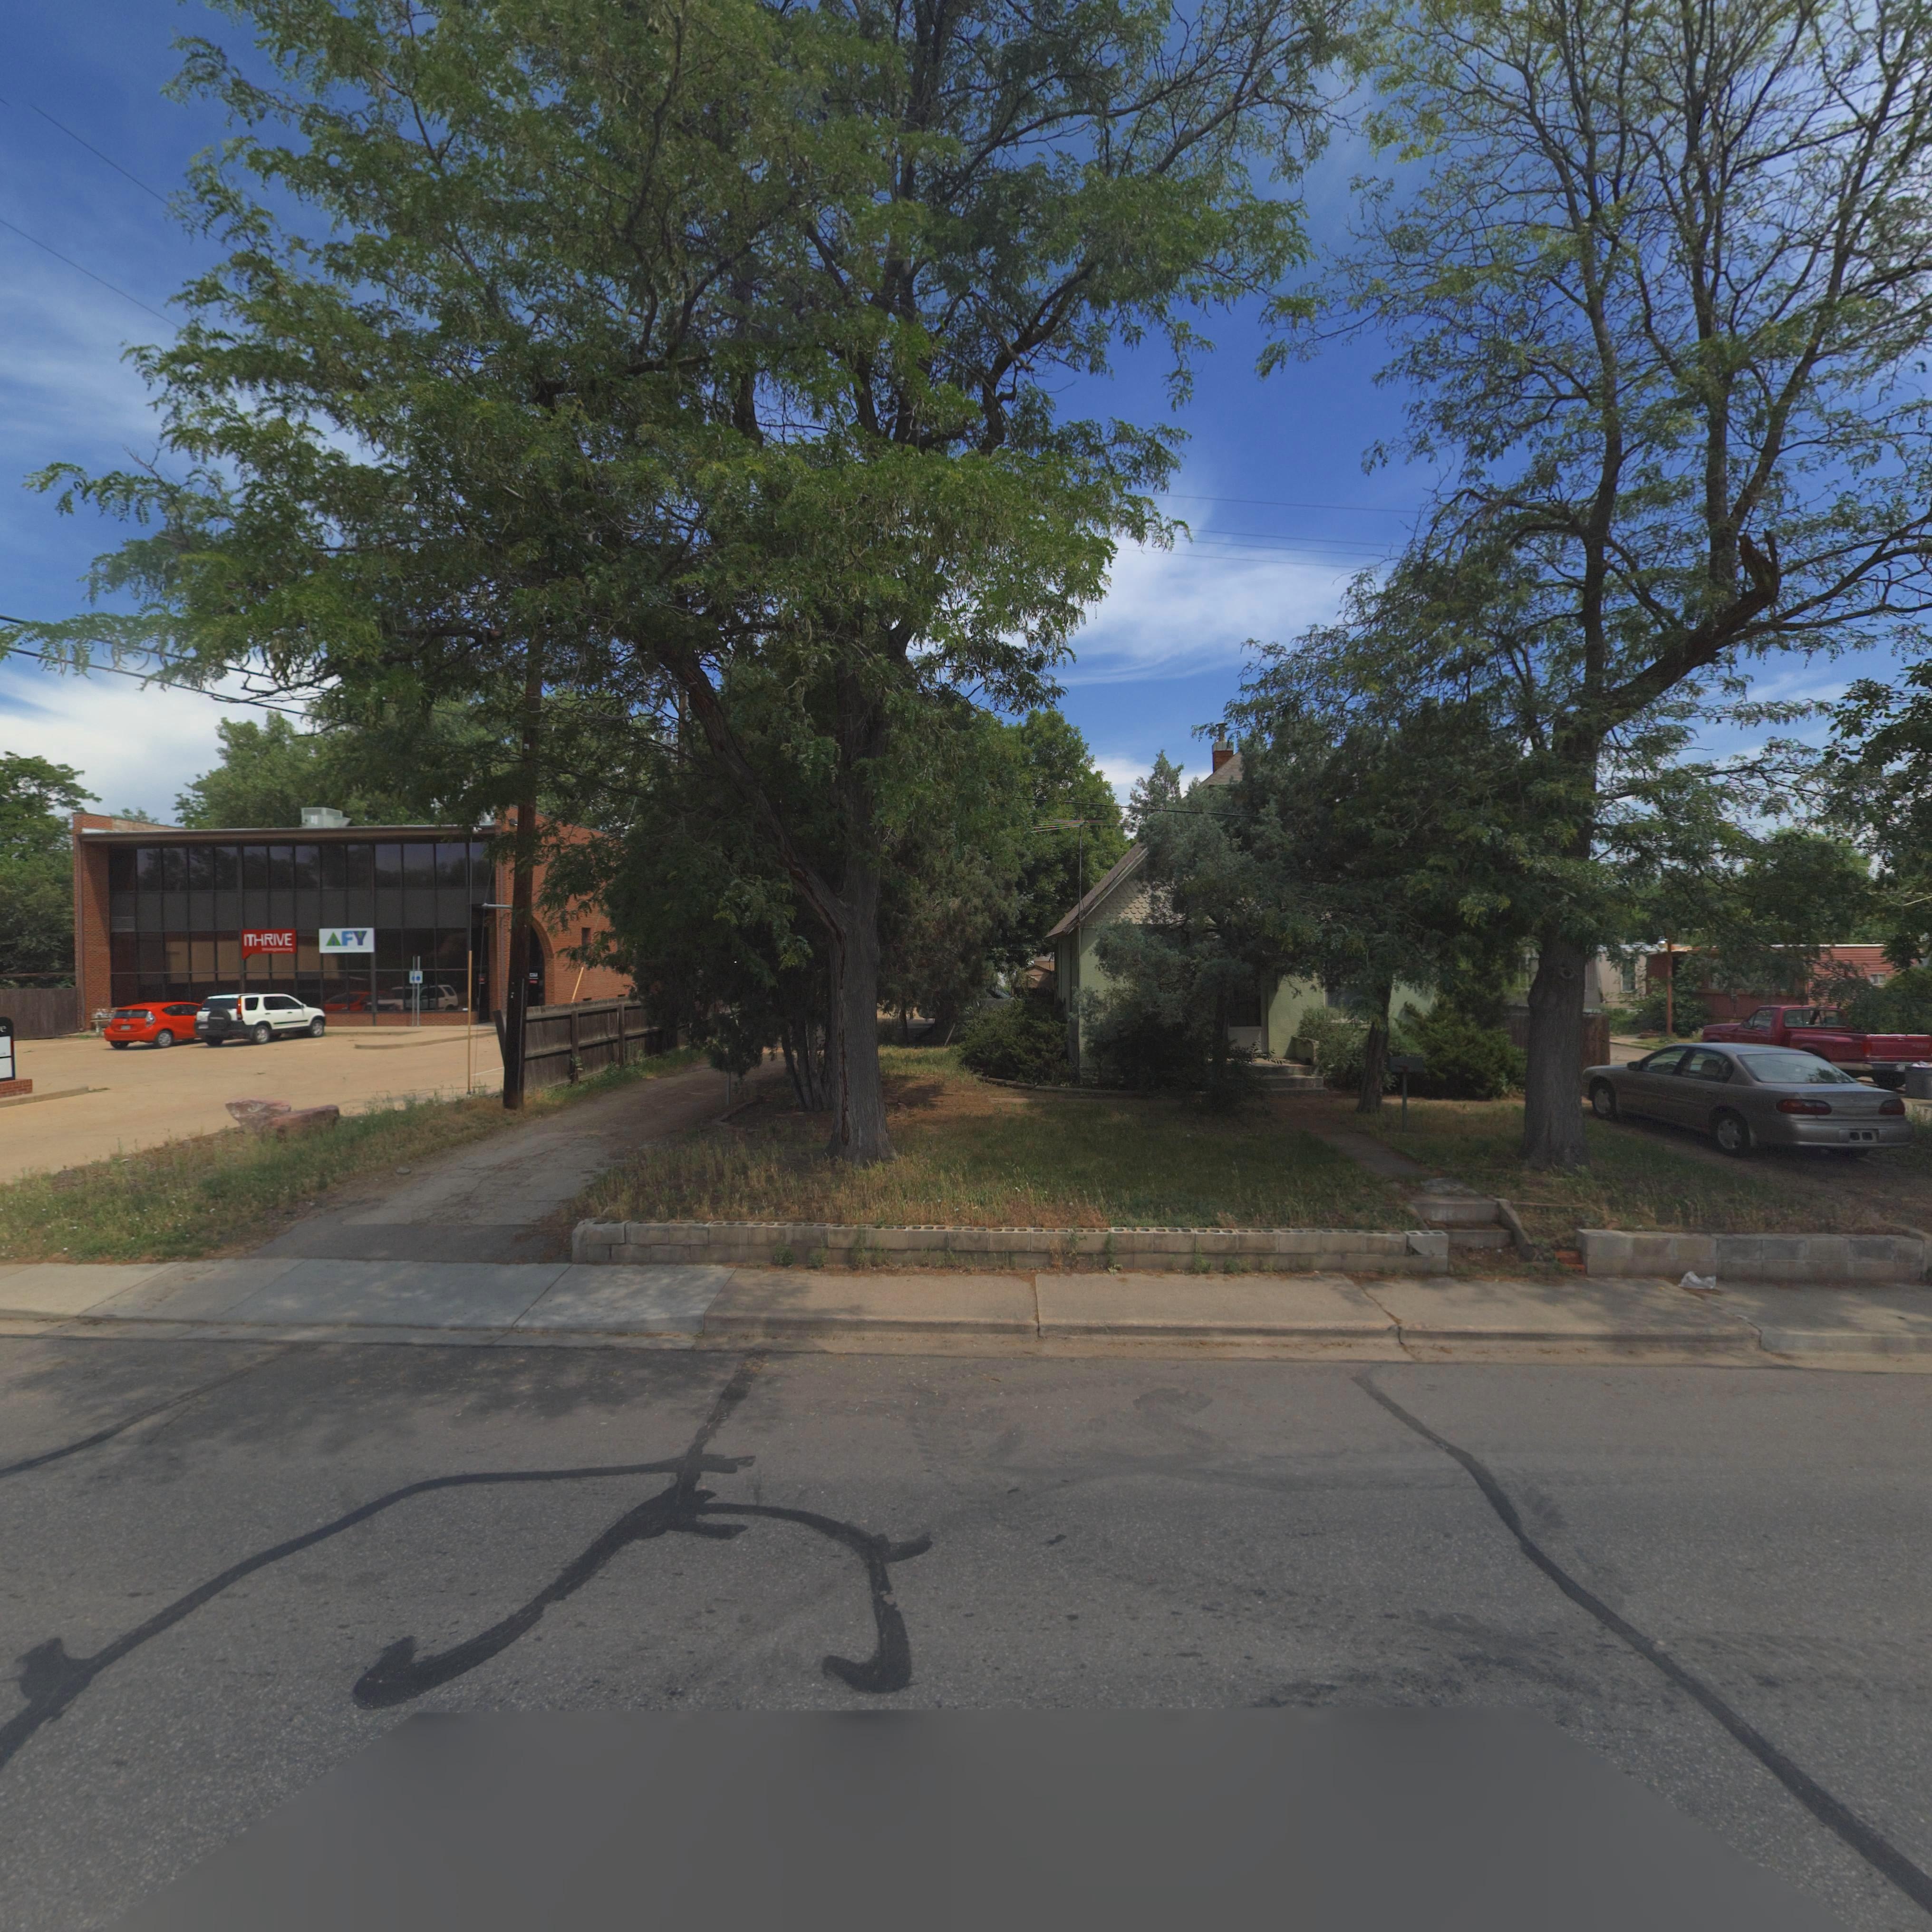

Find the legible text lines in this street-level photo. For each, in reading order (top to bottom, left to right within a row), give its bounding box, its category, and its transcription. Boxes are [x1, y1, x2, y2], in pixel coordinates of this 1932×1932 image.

[243, 933, 292, 947] BusinessName: ITHRIVE
[341, 930, 367, 946] BusinessName: FY